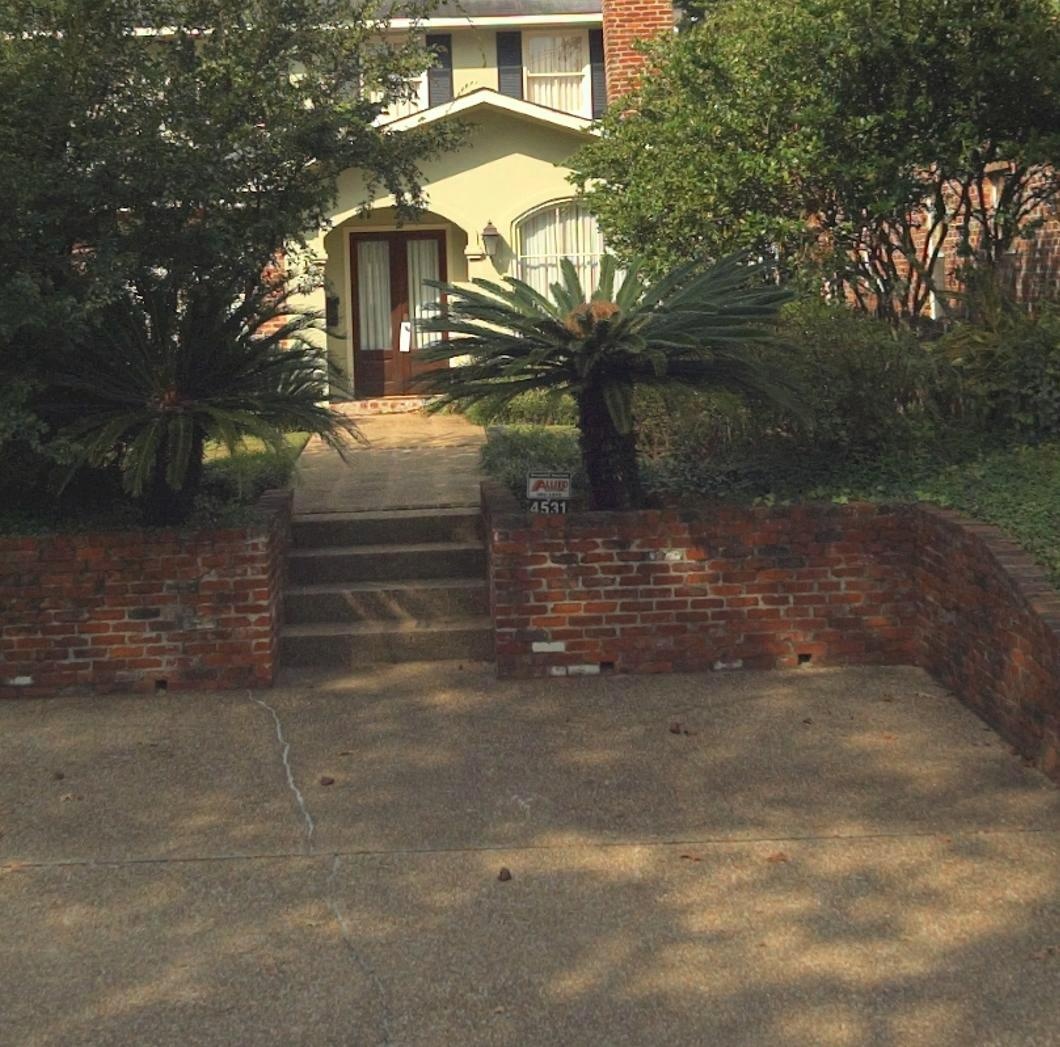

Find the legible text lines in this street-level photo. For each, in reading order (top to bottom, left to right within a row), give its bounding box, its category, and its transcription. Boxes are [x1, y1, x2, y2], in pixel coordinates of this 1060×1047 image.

[530, 479, 569, 492] None: ALLIED
[529, 500, 569, 515] StreetNumber: 4531